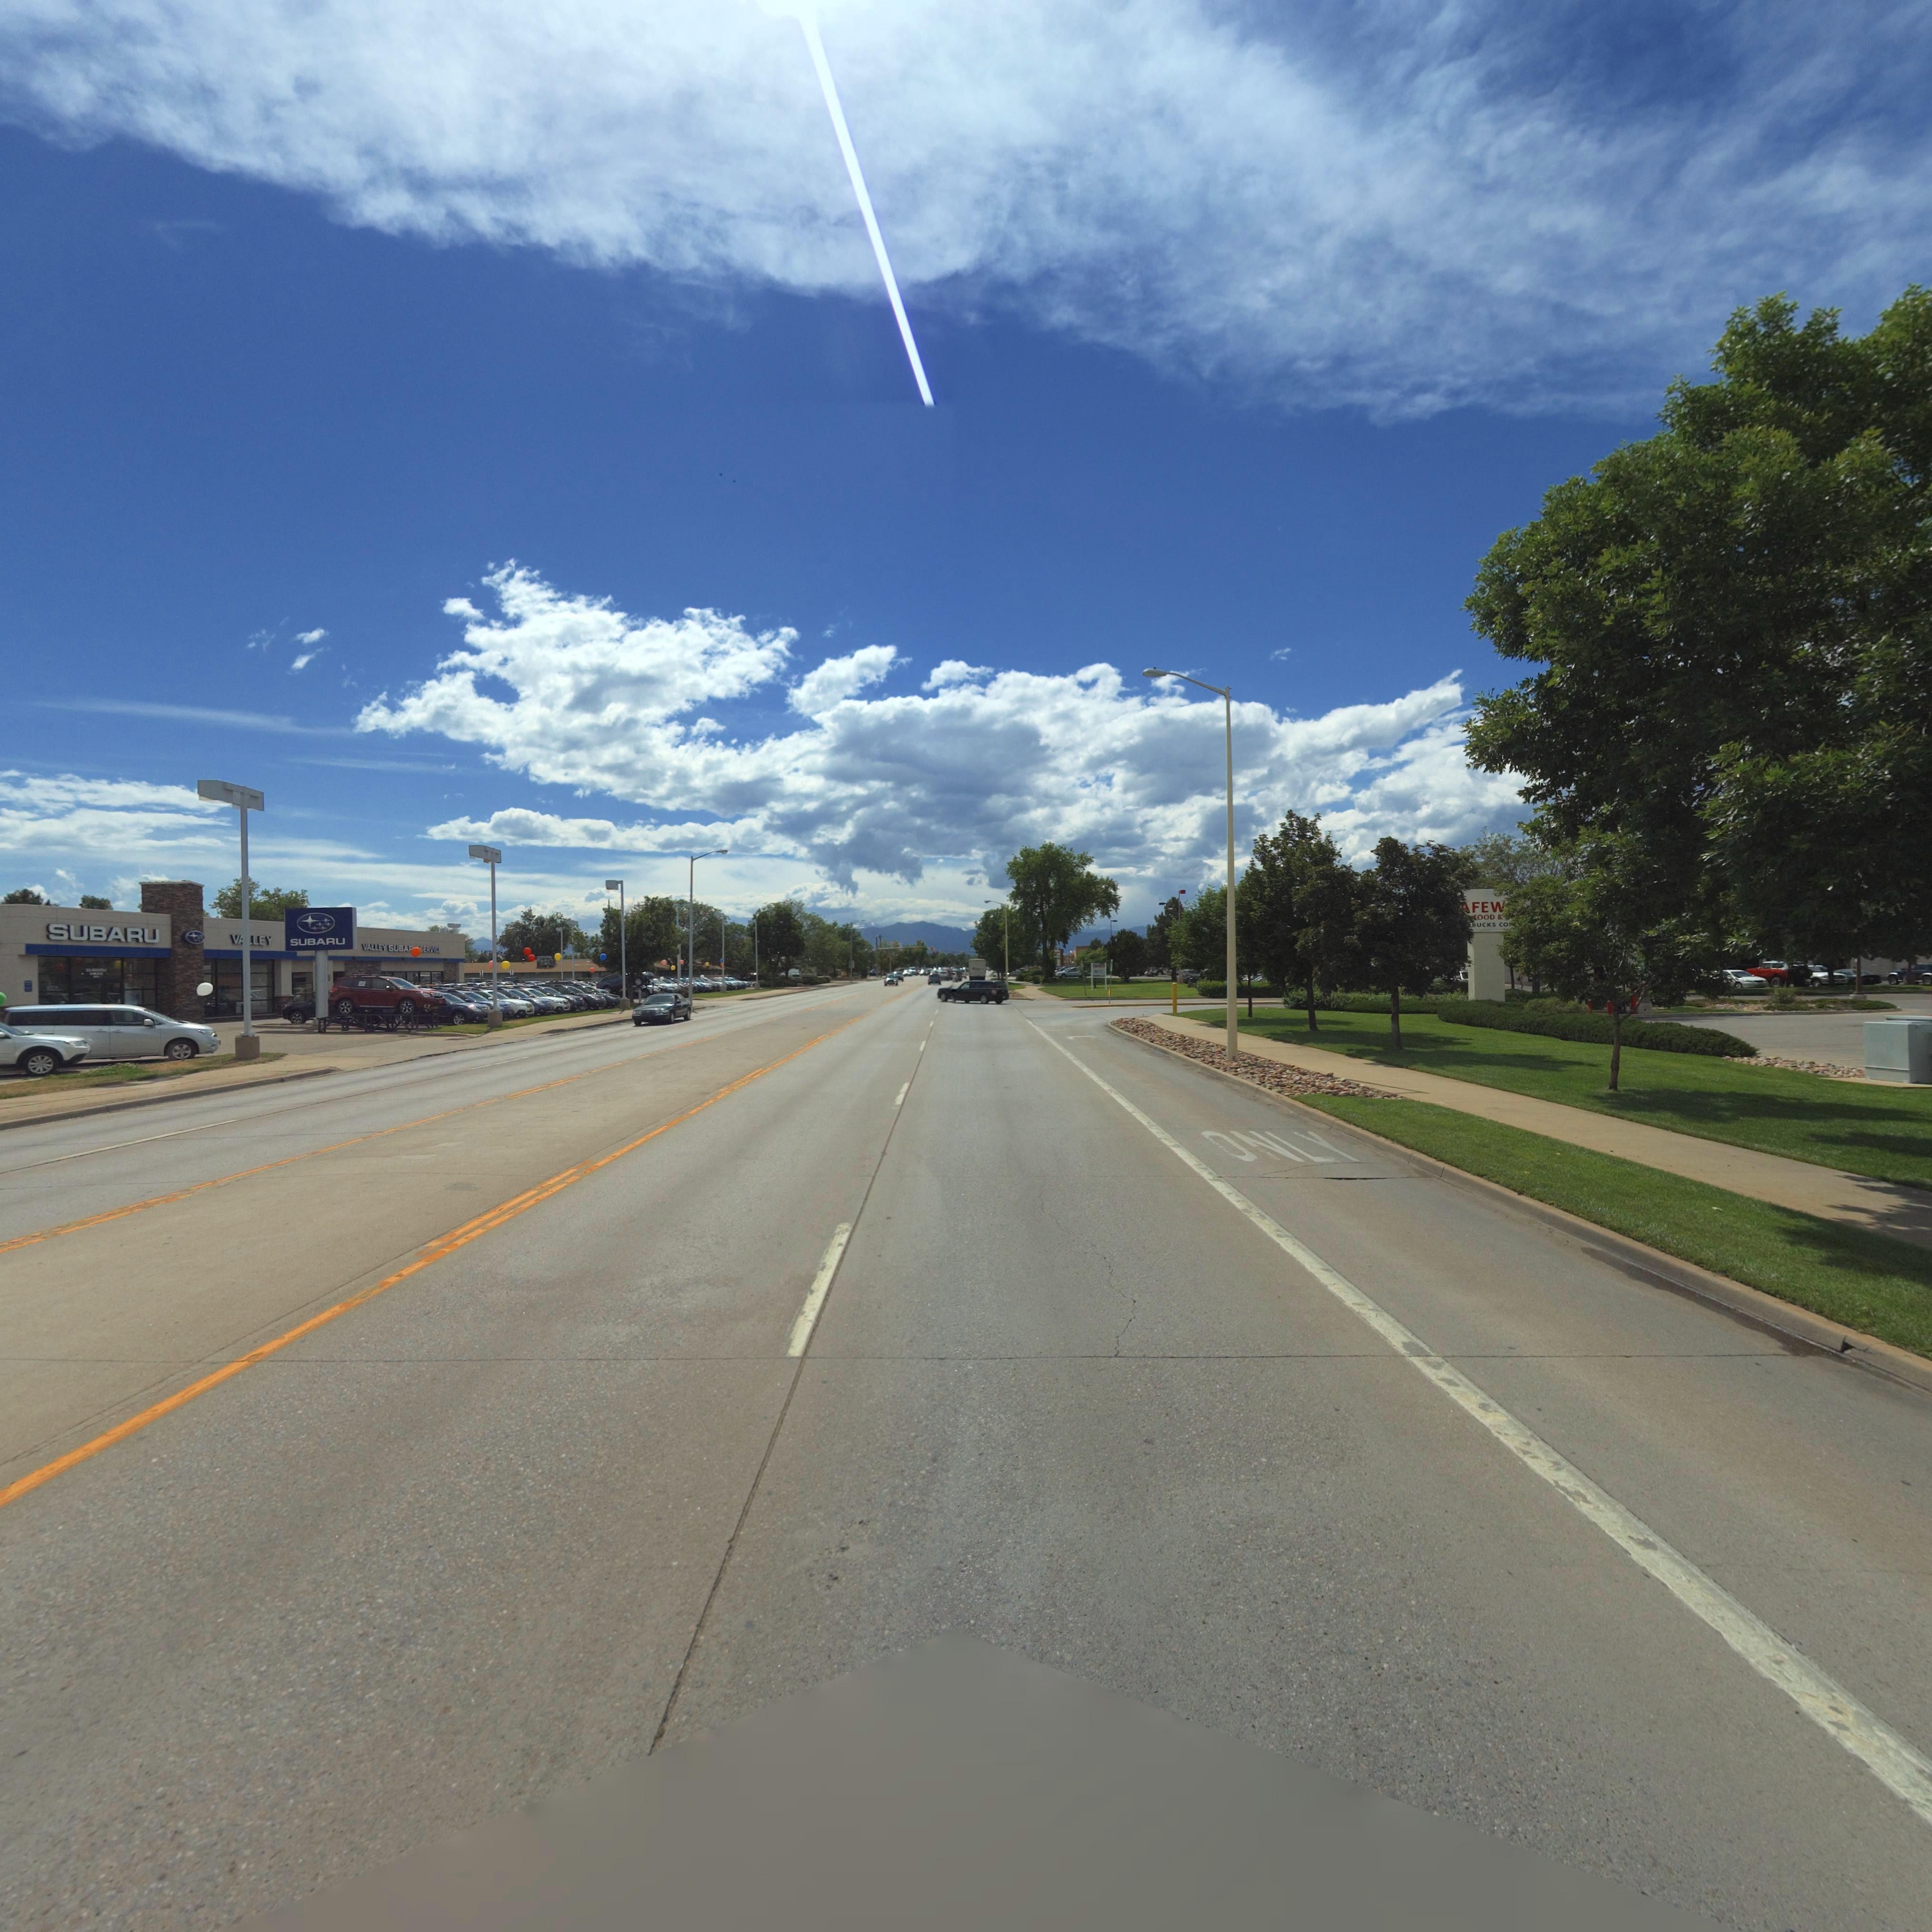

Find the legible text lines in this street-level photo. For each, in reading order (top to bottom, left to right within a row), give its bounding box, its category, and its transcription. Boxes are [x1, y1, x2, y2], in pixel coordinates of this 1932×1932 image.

[1471, 901, 1506, 913] BusinessName: EW
[1472, 922, 1508, 927] BusinessName: *BUCKS CO
[47, 923, 160, 944] BusinessName: SUBARU
[231, 934, 273, 946] BusinessName: V**LEY
[290, 937, 346, 946] BusinessName: SUBARU